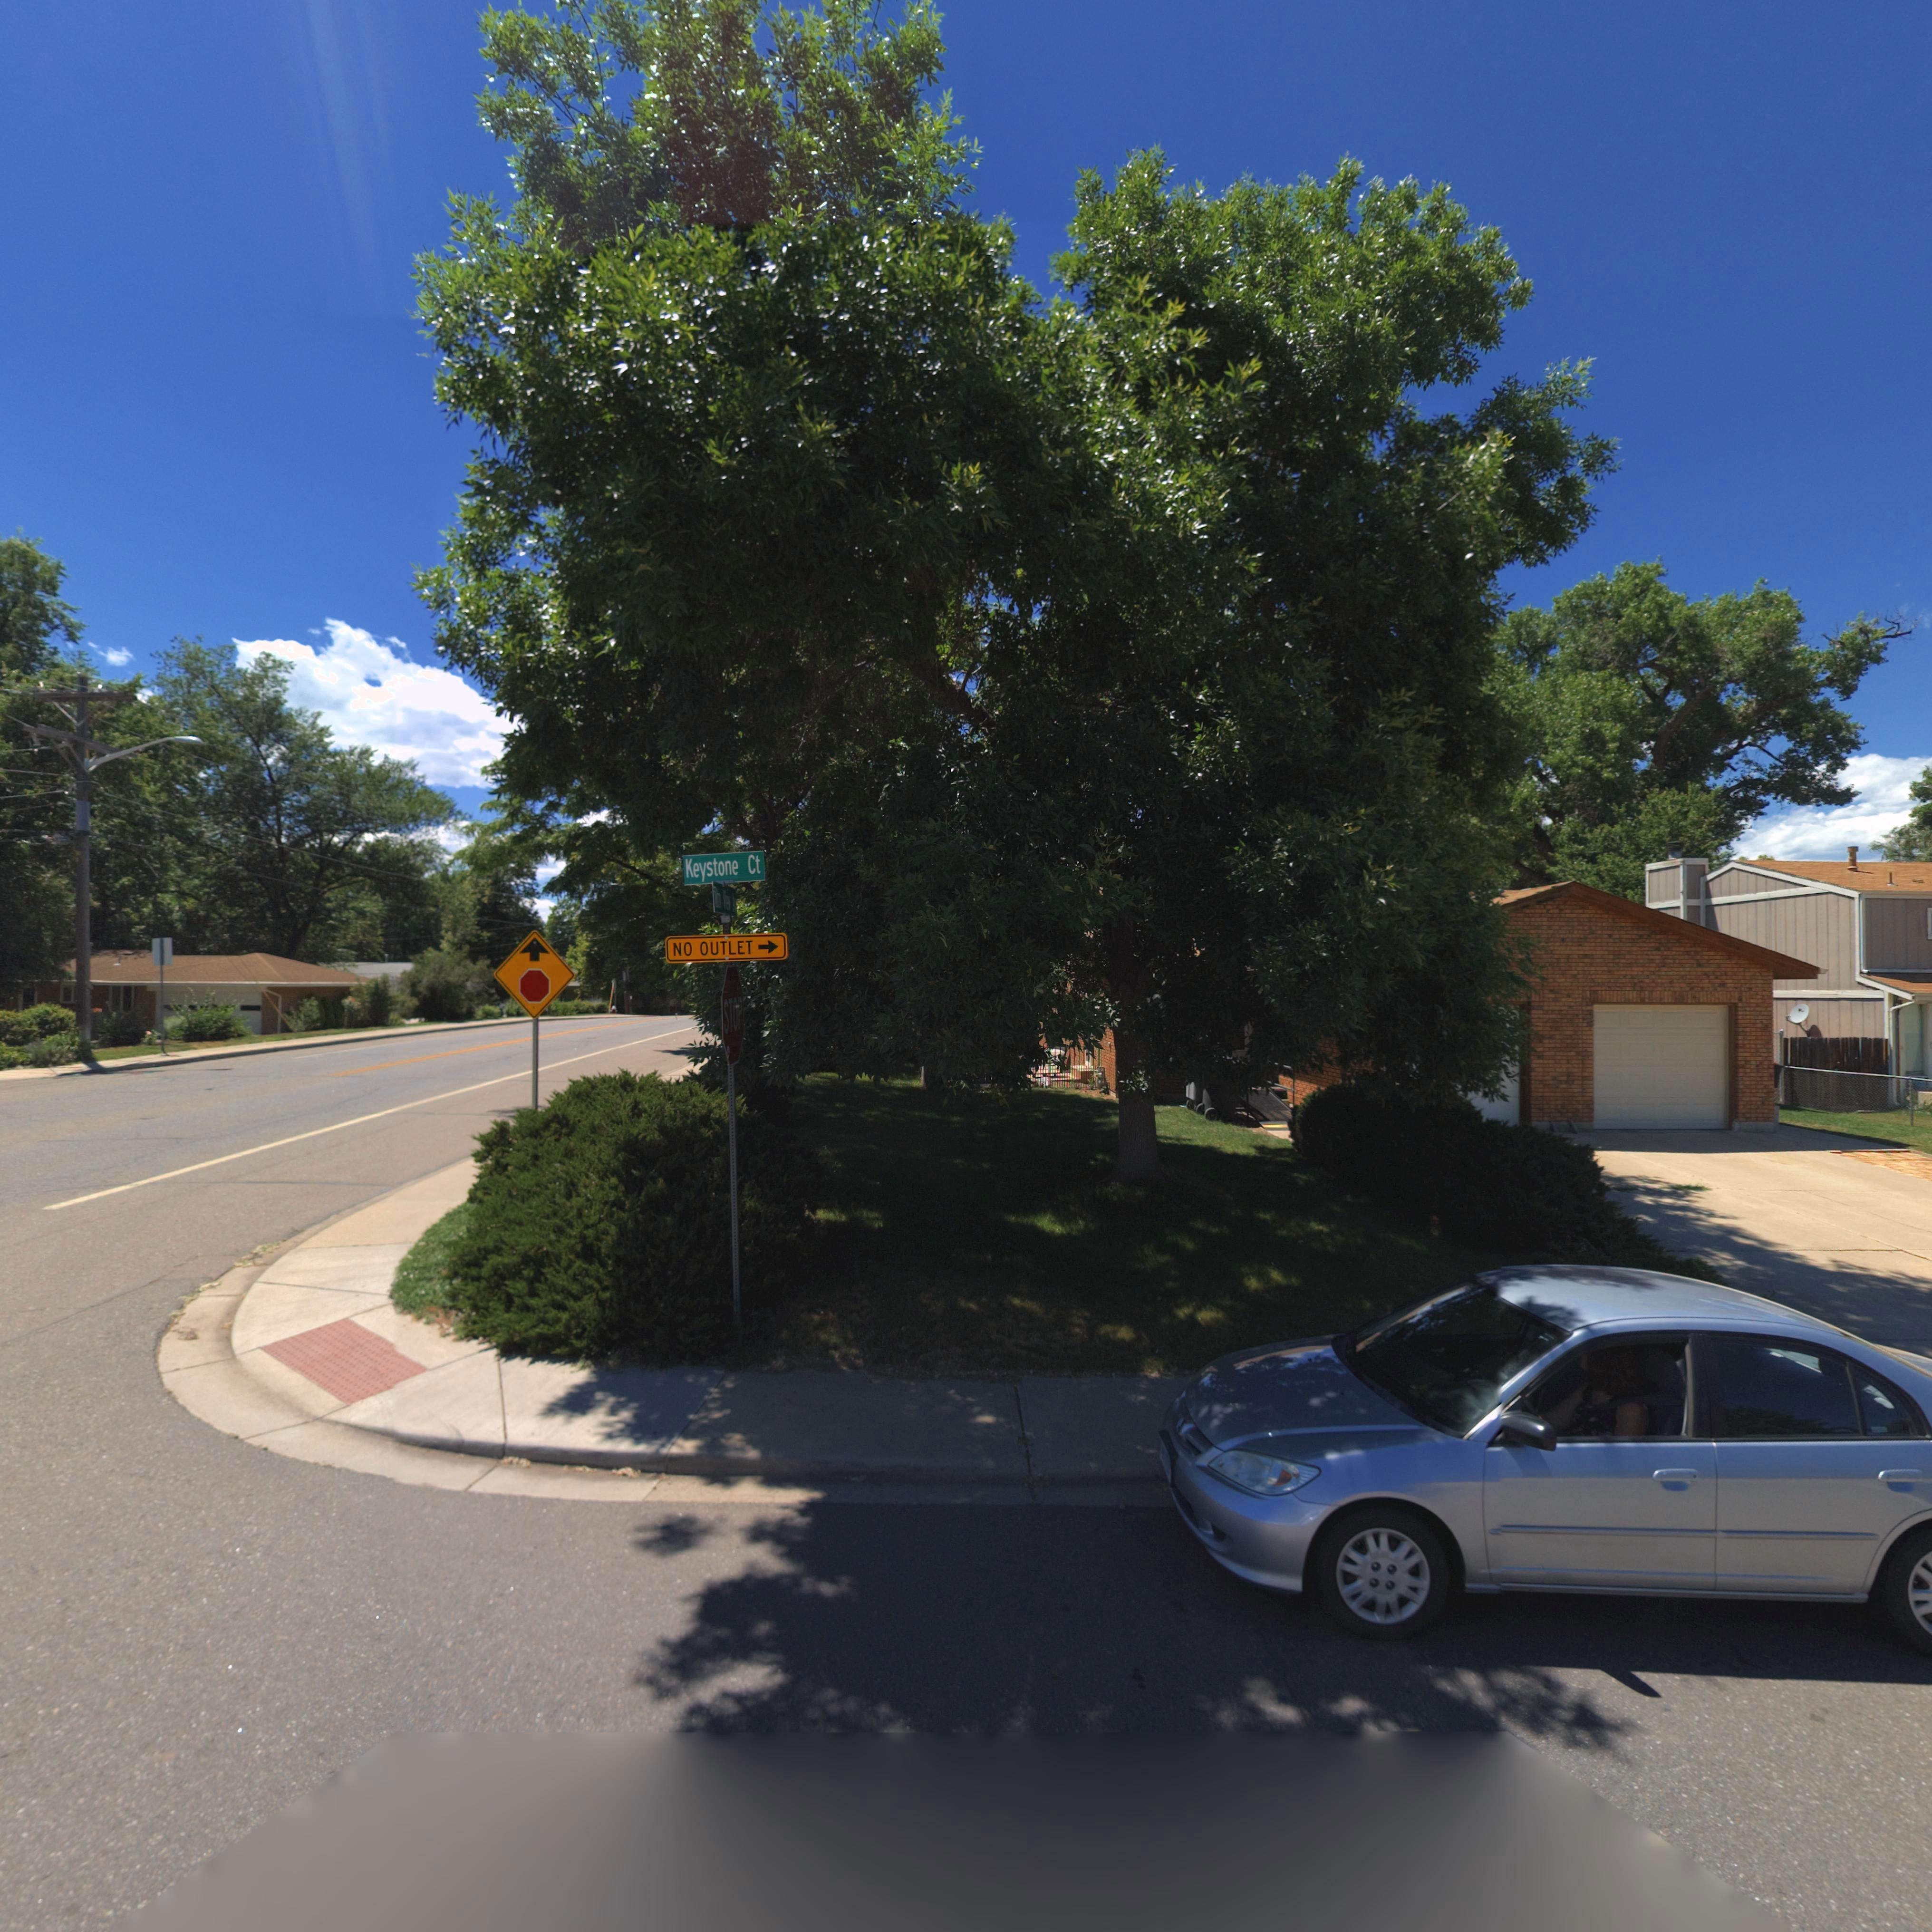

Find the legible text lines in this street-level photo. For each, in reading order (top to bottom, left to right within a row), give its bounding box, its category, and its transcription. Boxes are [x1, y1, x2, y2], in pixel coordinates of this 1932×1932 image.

[685, 854, 760, 882] StreetName: Keystone Ct